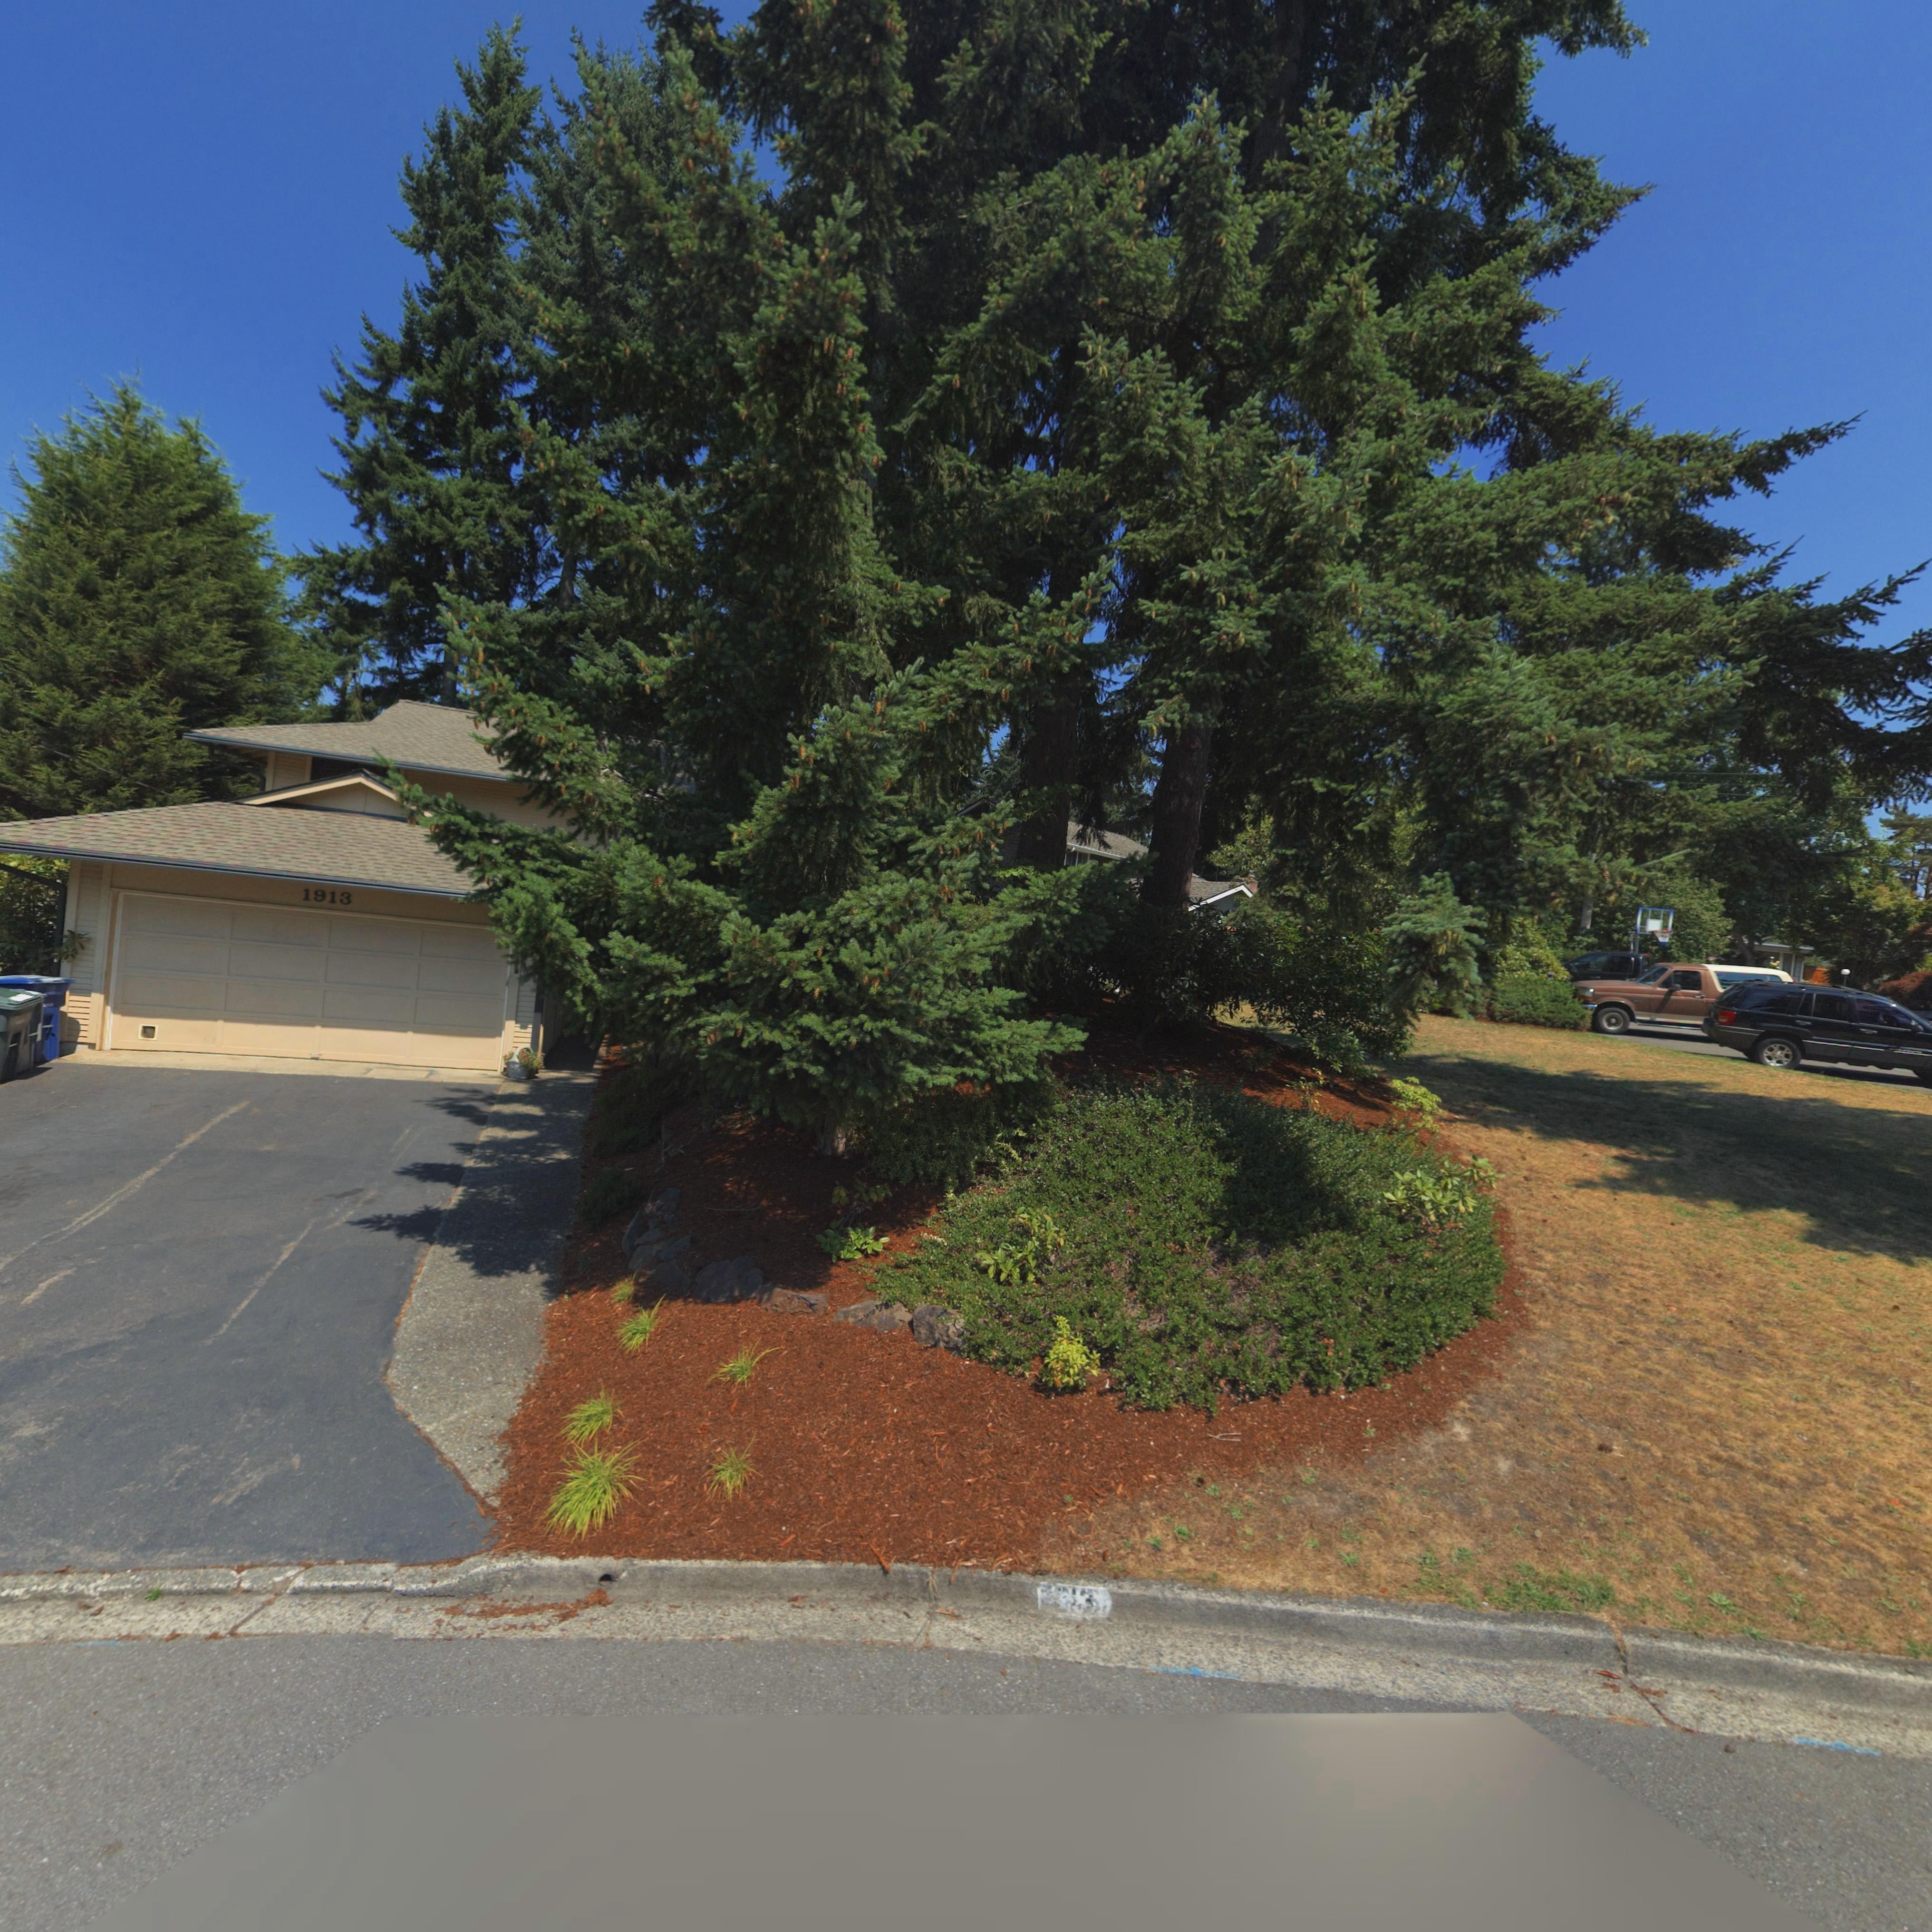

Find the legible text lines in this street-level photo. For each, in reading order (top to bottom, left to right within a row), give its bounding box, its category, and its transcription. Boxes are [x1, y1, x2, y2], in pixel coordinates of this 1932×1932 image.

[303, 889, 351, 905] StreetNumber: 1913